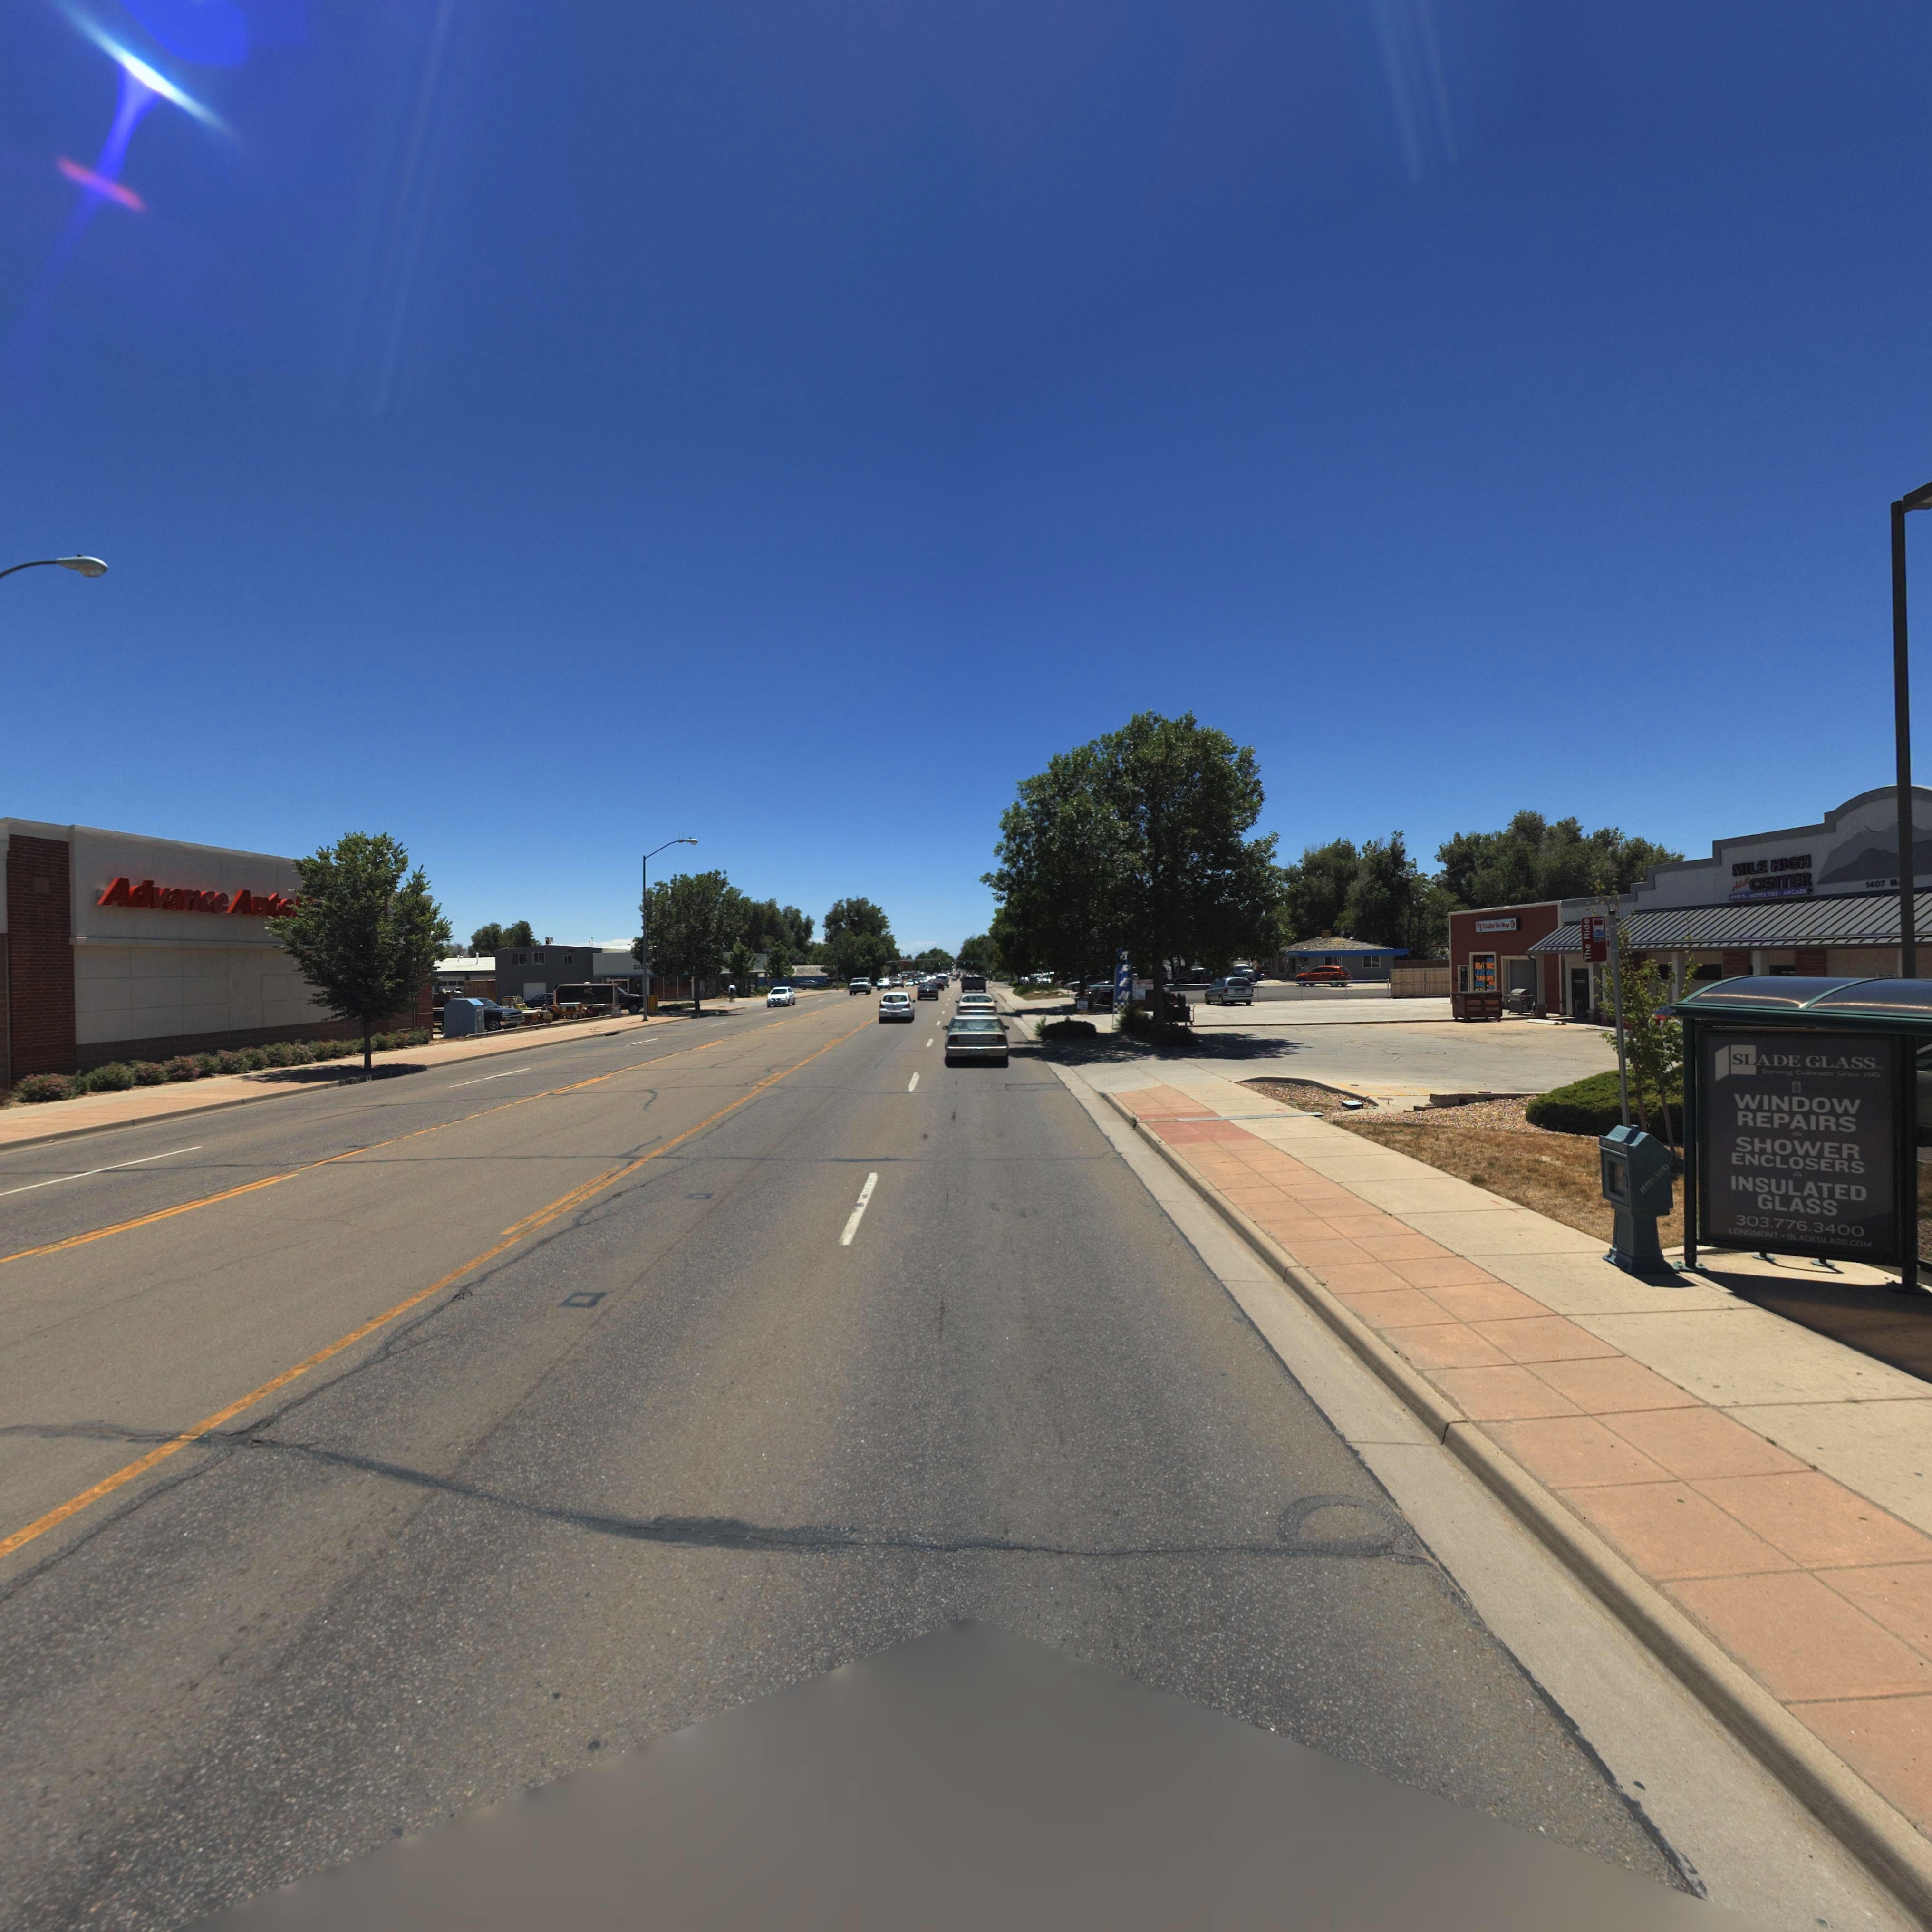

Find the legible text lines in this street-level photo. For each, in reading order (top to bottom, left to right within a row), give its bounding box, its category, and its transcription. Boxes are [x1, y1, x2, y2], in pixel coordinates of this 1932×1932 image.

[1732, 853, 1811, 876] BusinessName: MILE HIGH
[1748, 871, 1813, 891] BusinessName: CENTER
[1864, 879, 1886, 888] StreetNumber: 1407
[1889, 878, 1901, 887] StreetName: M
[93, 875, 298, 920] BusinessName: Advance Auto